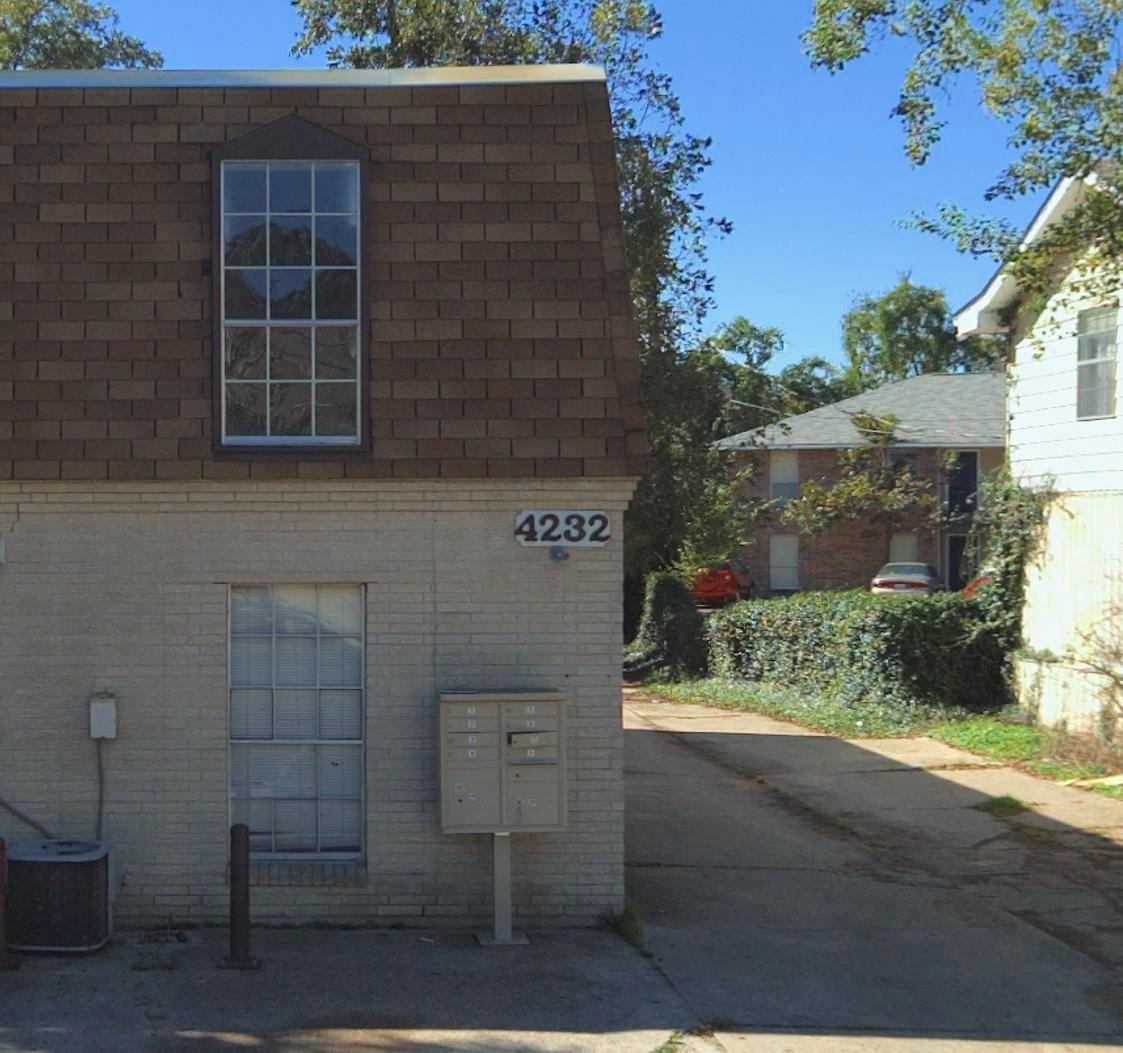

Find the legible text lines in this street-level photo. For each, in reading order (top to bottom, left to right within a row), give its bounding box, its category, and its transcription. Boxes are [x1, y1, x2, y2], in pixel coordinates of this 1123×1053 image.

[513, 512, 611, 543] StreetNumber: 4232